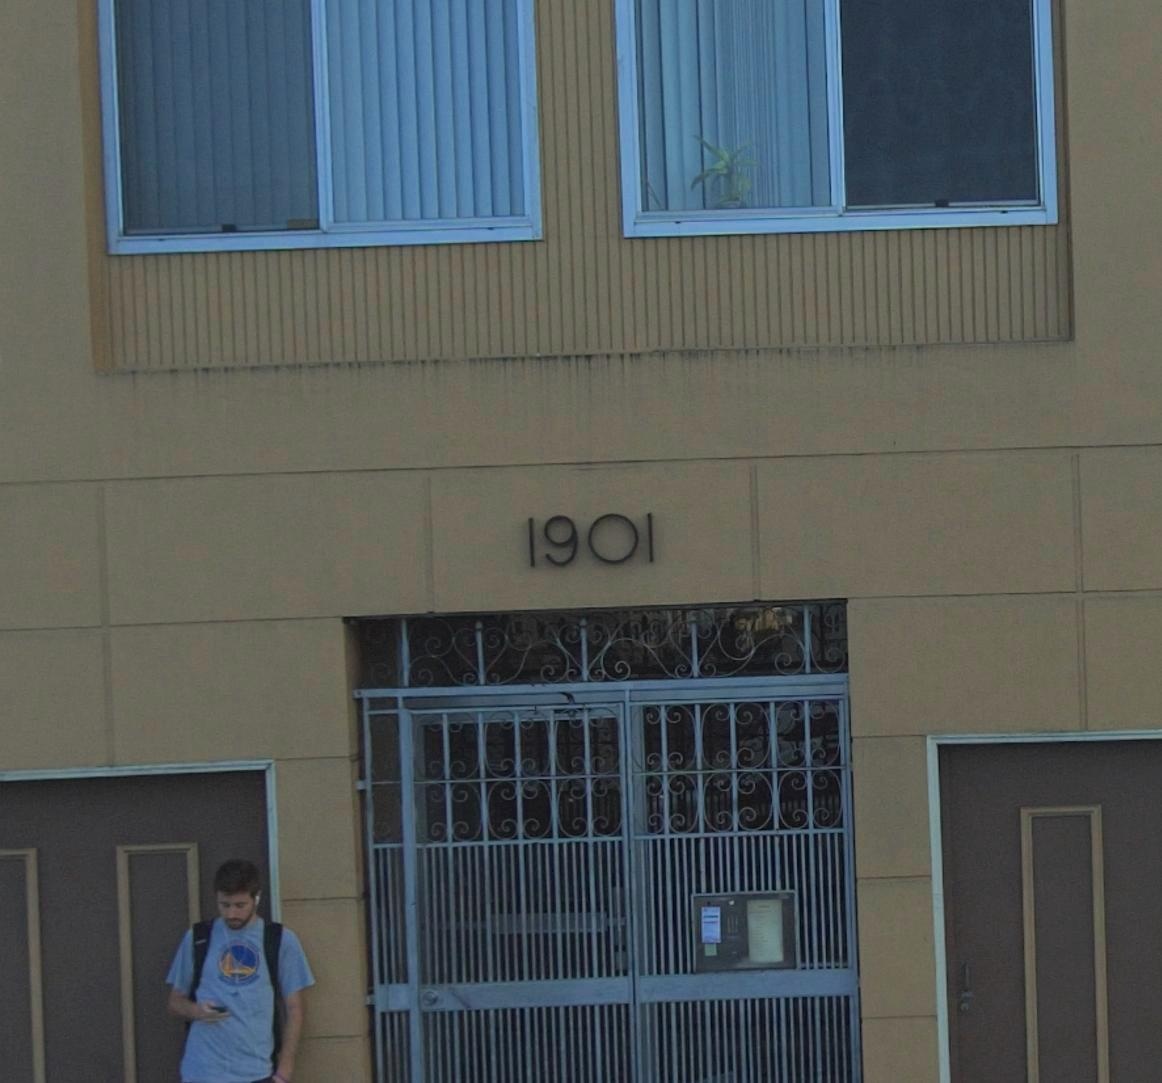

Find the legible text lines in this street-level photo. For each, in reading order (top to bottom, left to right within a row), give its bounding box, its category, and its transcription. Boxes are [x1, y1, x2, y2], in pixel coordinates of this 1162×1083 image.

[525, 508, 658, 571] StreetNumber: 1901